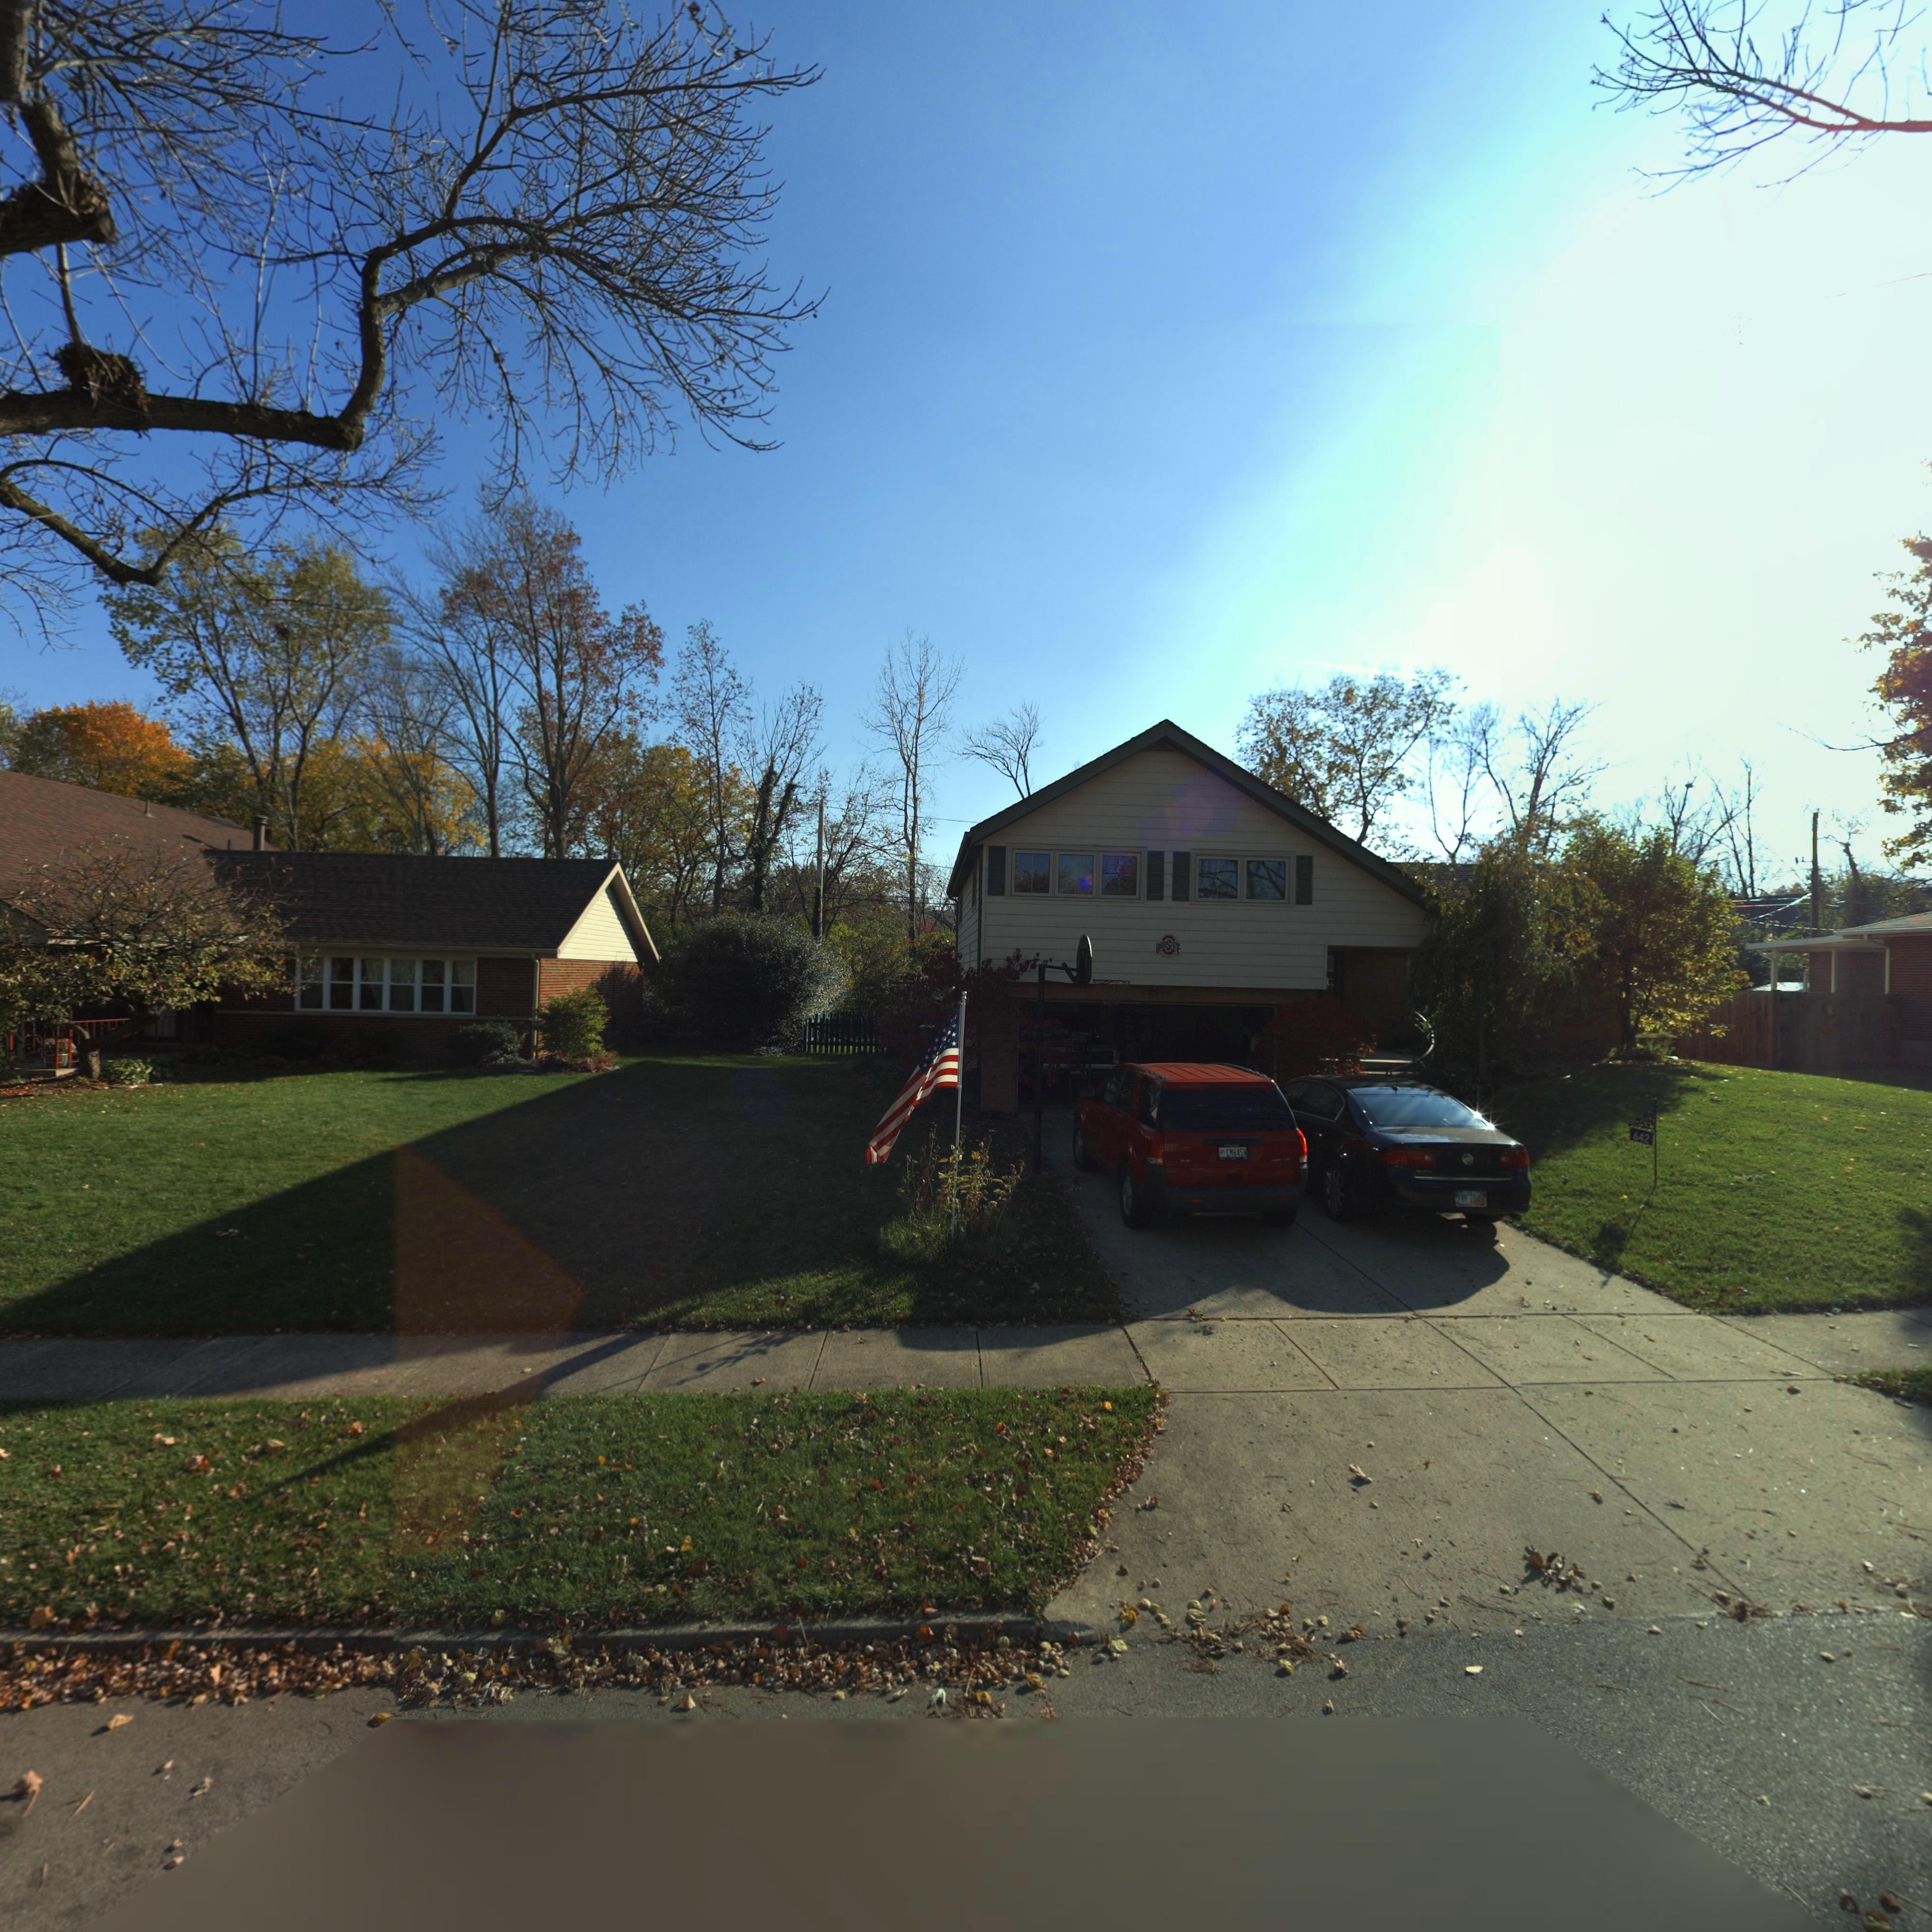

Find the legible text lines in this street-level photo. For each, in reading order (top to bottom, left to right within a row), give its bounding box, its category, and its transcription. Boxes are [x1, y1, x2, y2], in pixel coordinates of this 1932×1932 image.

[1632, 1131, 1651, 1145] StreetNumber: 642